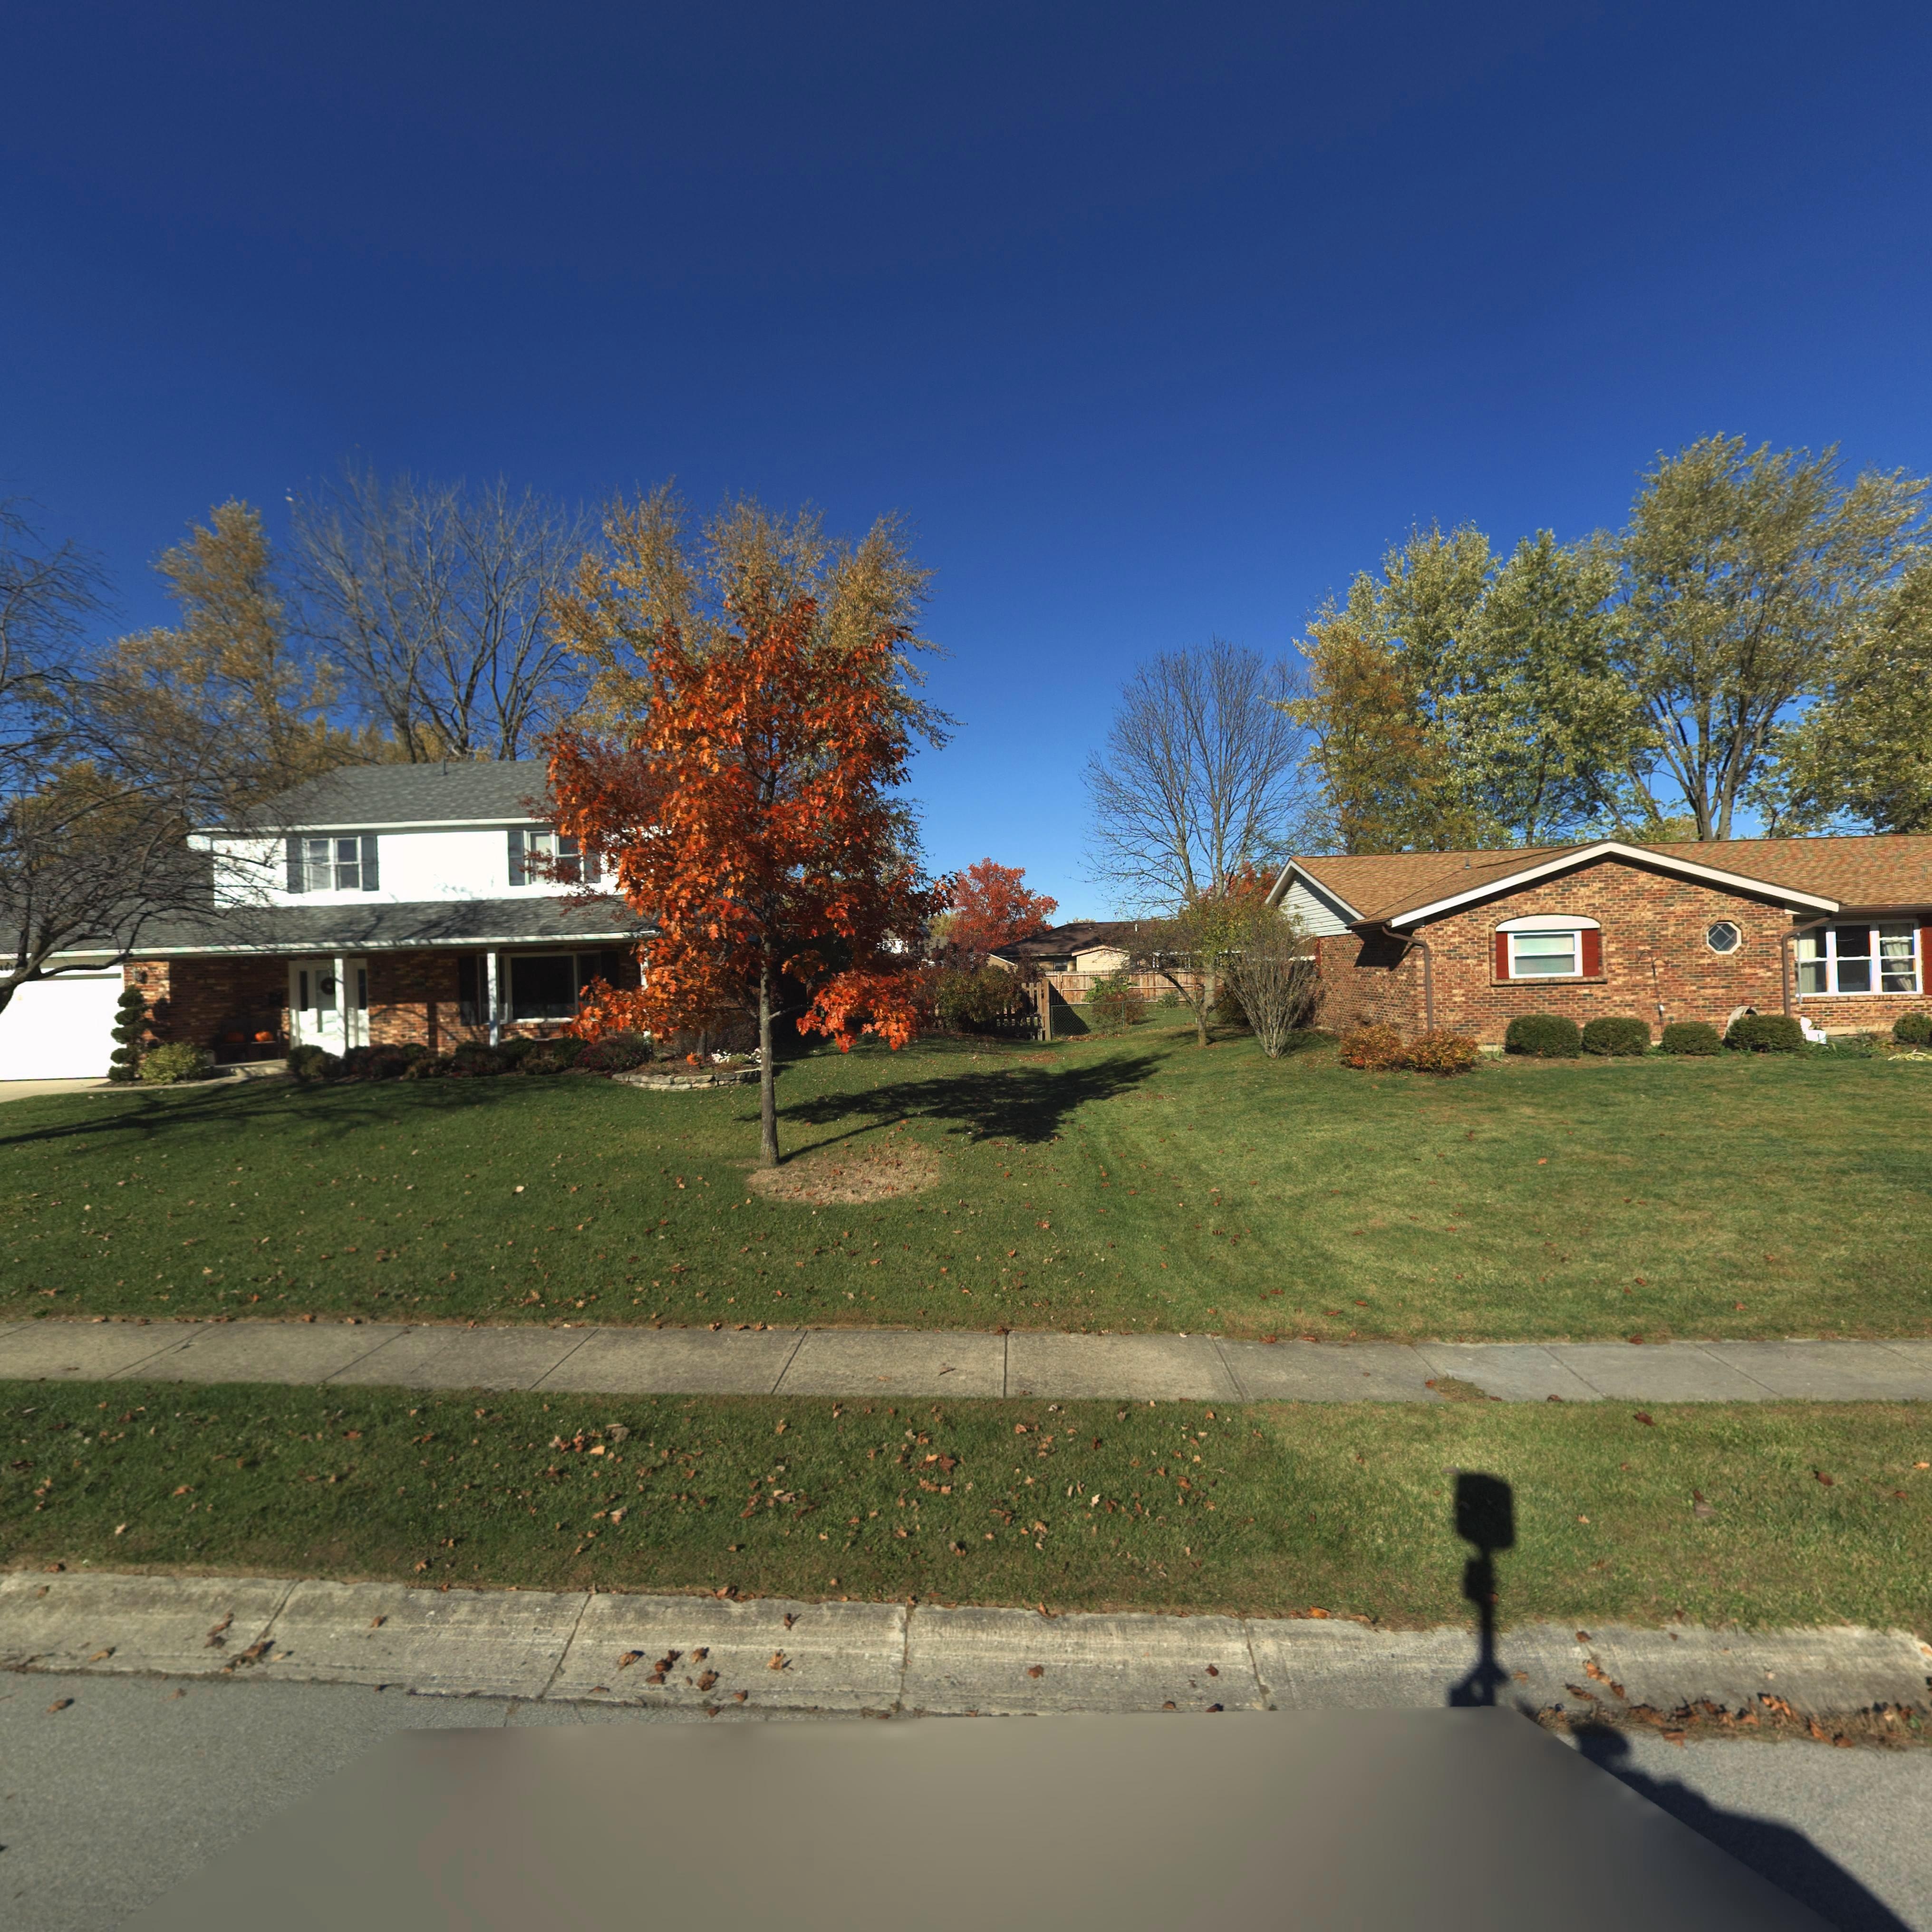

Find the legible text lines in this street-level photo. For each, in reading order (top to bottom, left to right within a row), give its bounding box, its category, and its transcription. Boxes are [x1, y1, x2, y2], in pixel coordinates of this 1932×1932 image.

[3, 964, 14, 972] StreetNumber: 61